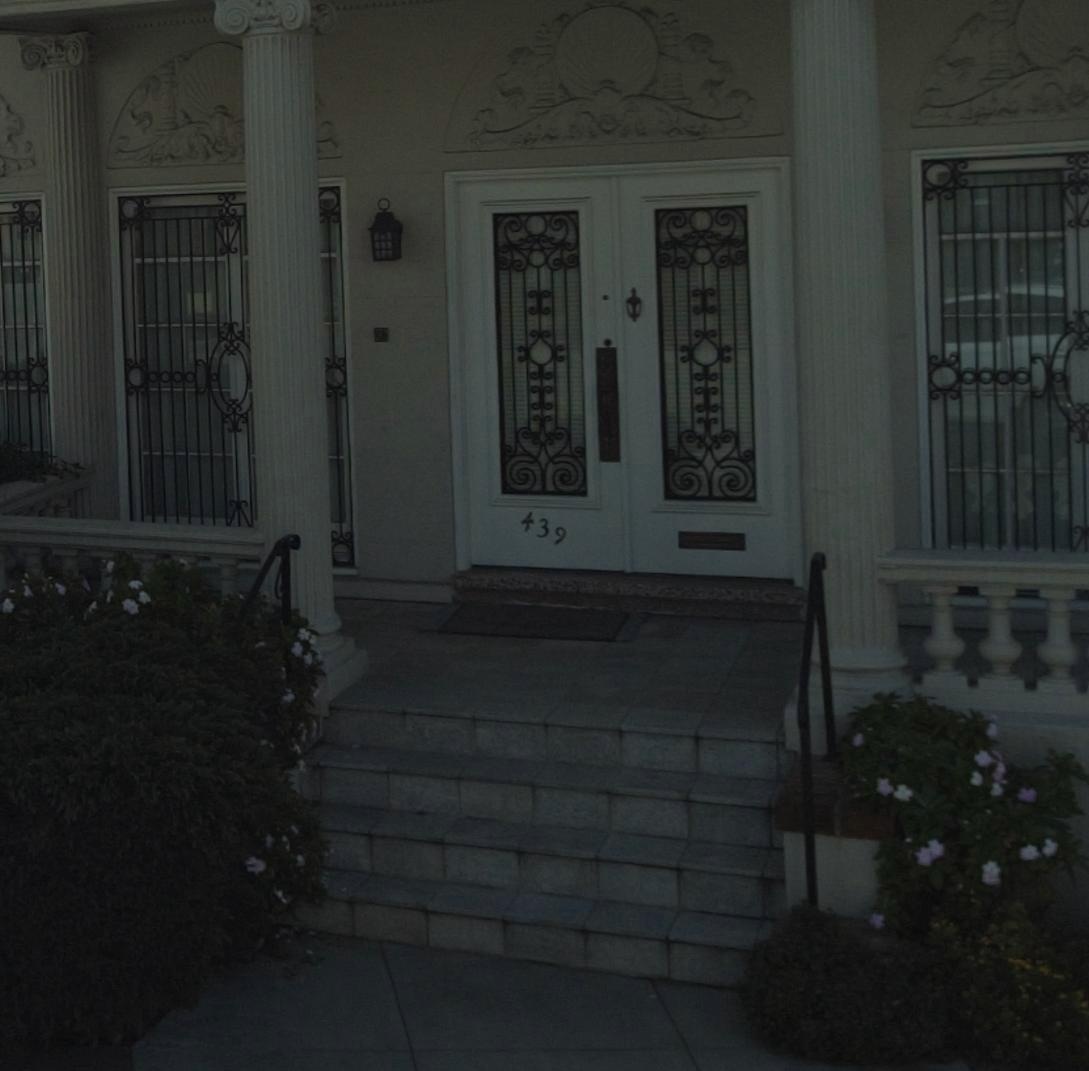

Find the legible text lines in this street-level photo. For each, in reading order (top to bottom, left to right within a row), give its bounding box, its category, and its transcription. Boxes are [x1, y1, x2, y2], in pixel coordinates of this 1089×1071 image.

[515, 505, 570, 551] StreetNumber: 439